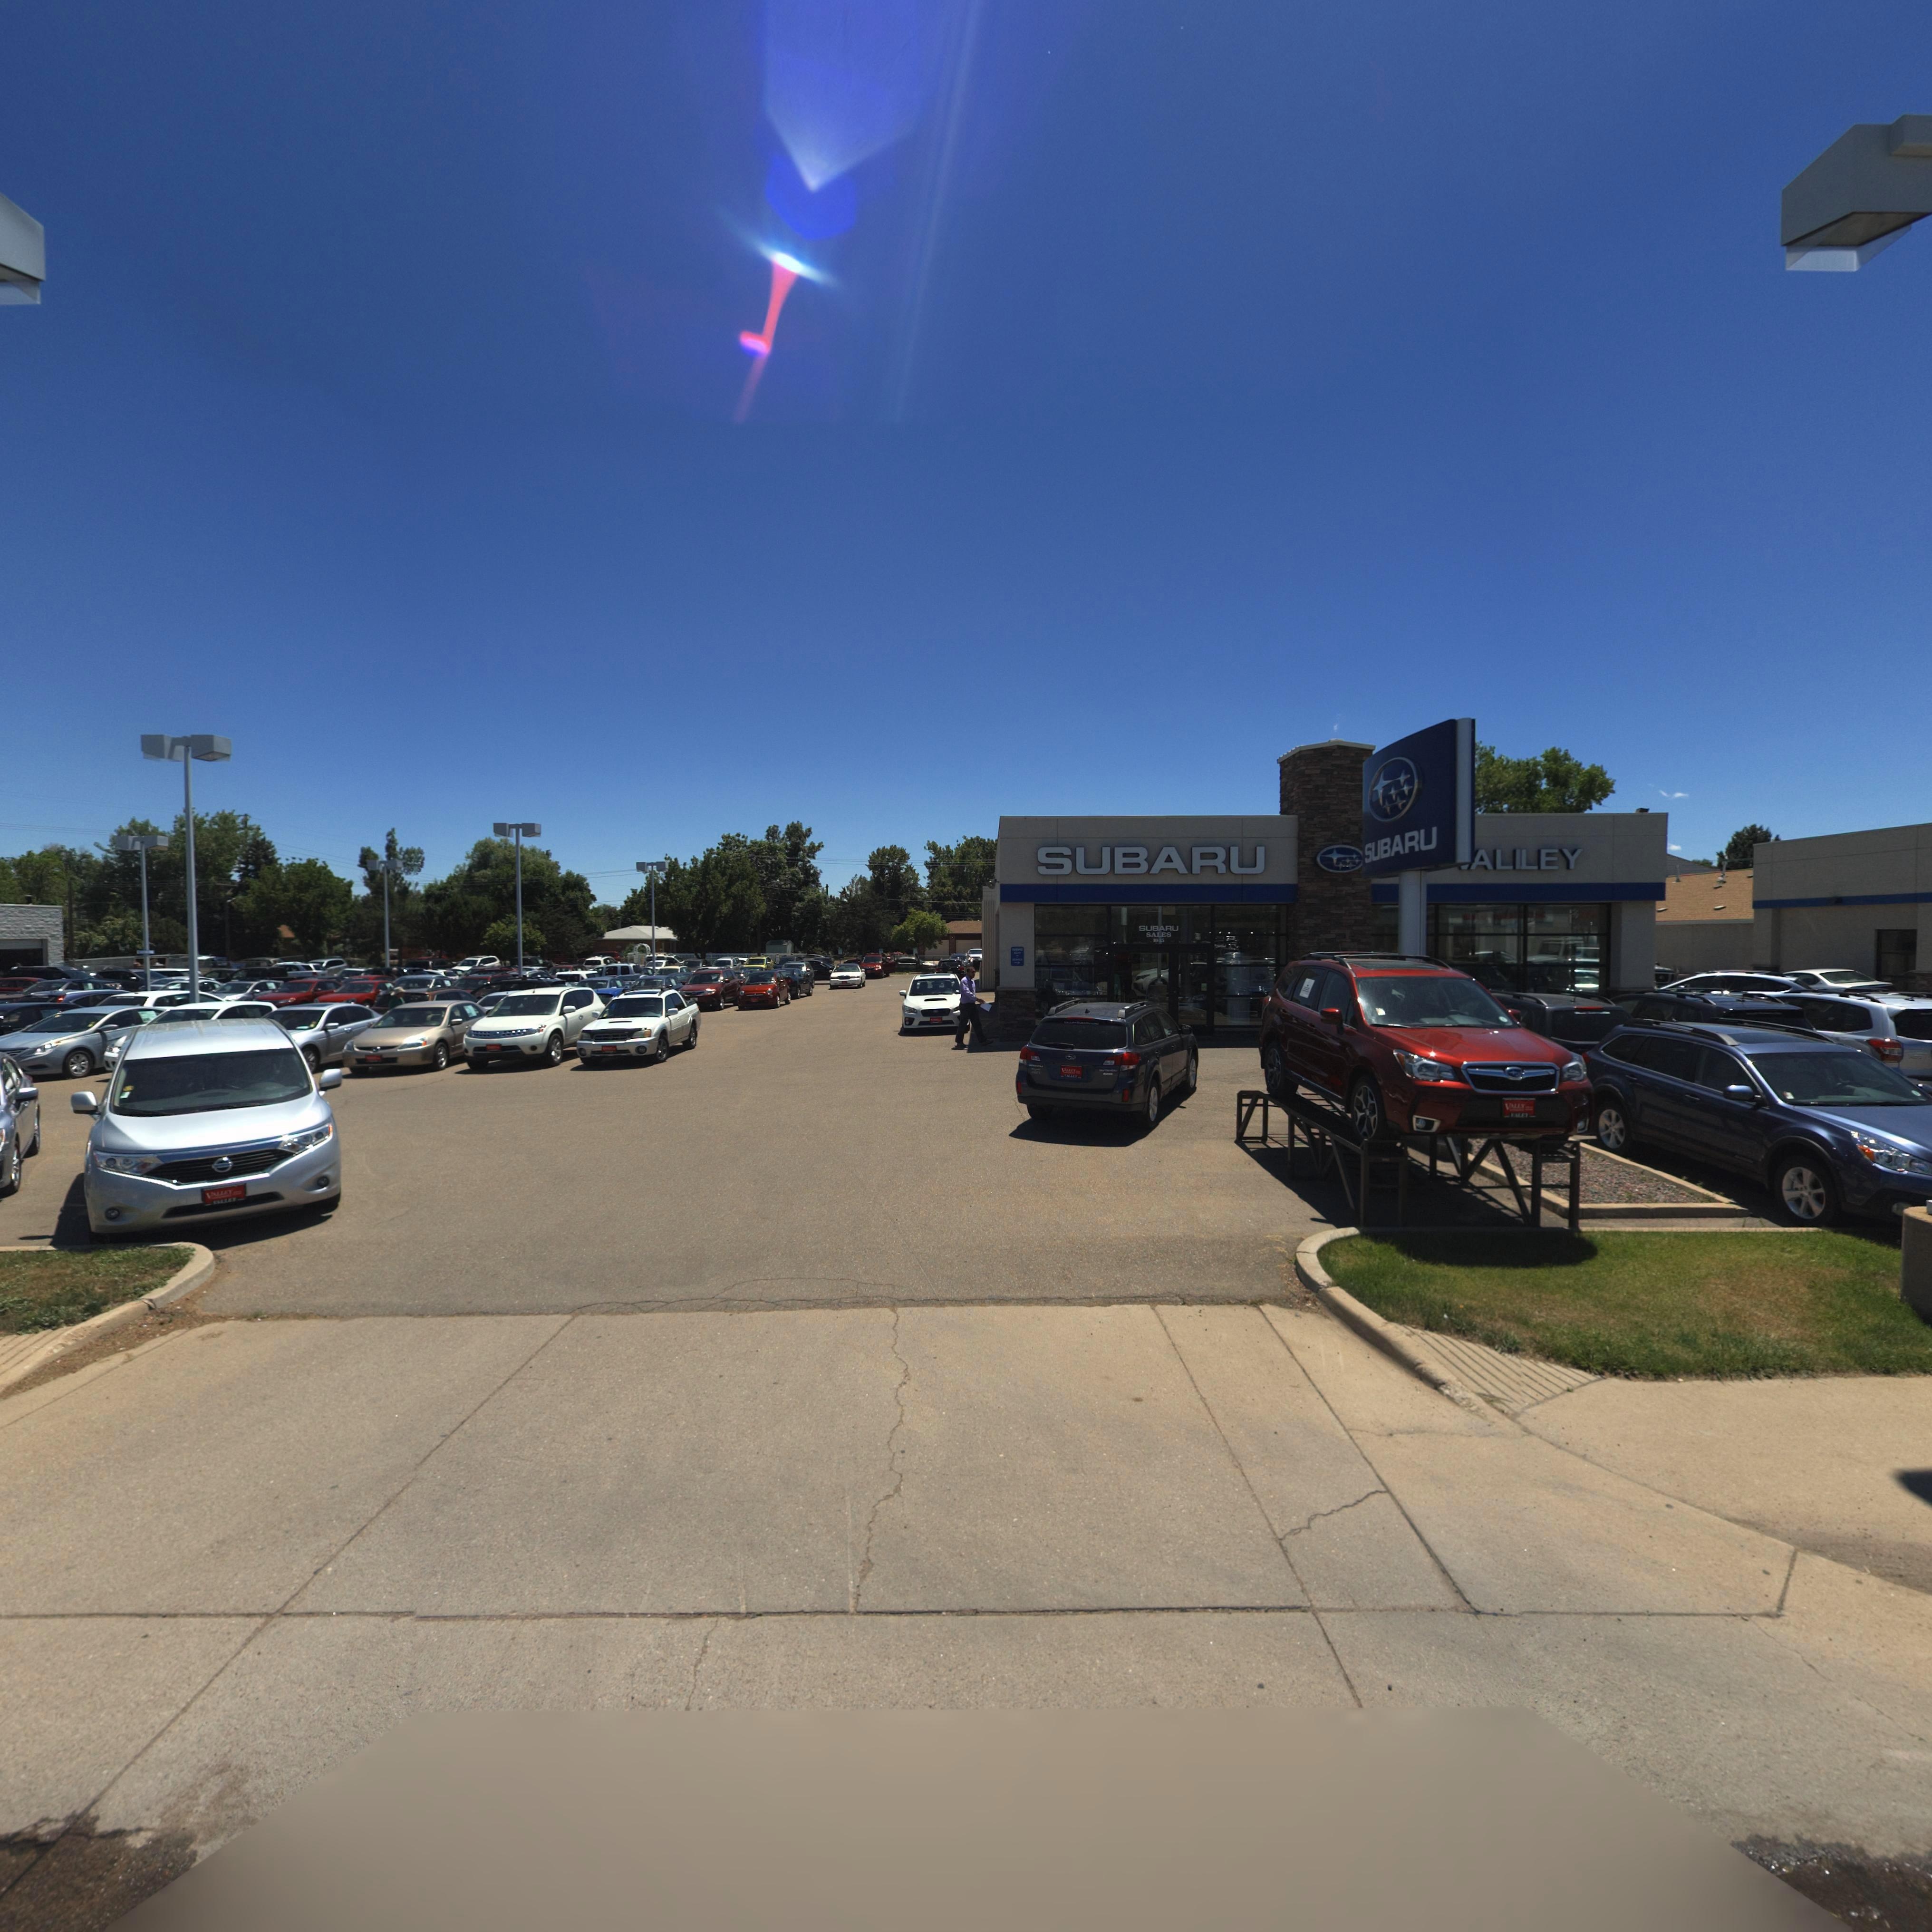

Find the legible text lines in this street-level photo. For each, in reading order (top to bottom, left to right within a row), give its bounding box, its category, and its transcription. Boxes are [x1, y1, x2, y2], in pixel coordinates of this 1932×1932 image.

[1364, 824, 1439, 863] BusinessName: SUBARU
[1037, 845, 1265, 875] BusinessName: SUBARU
[1466, 847, 1584, 871] BusinessName: ALLEY
[1138, 925, 1179, 931] BusinessName: SUBARU
[1146, 932, 1171, 937] BusinessName: SALES
[1153, 938, 1164, 943] StreetNumber: 1045